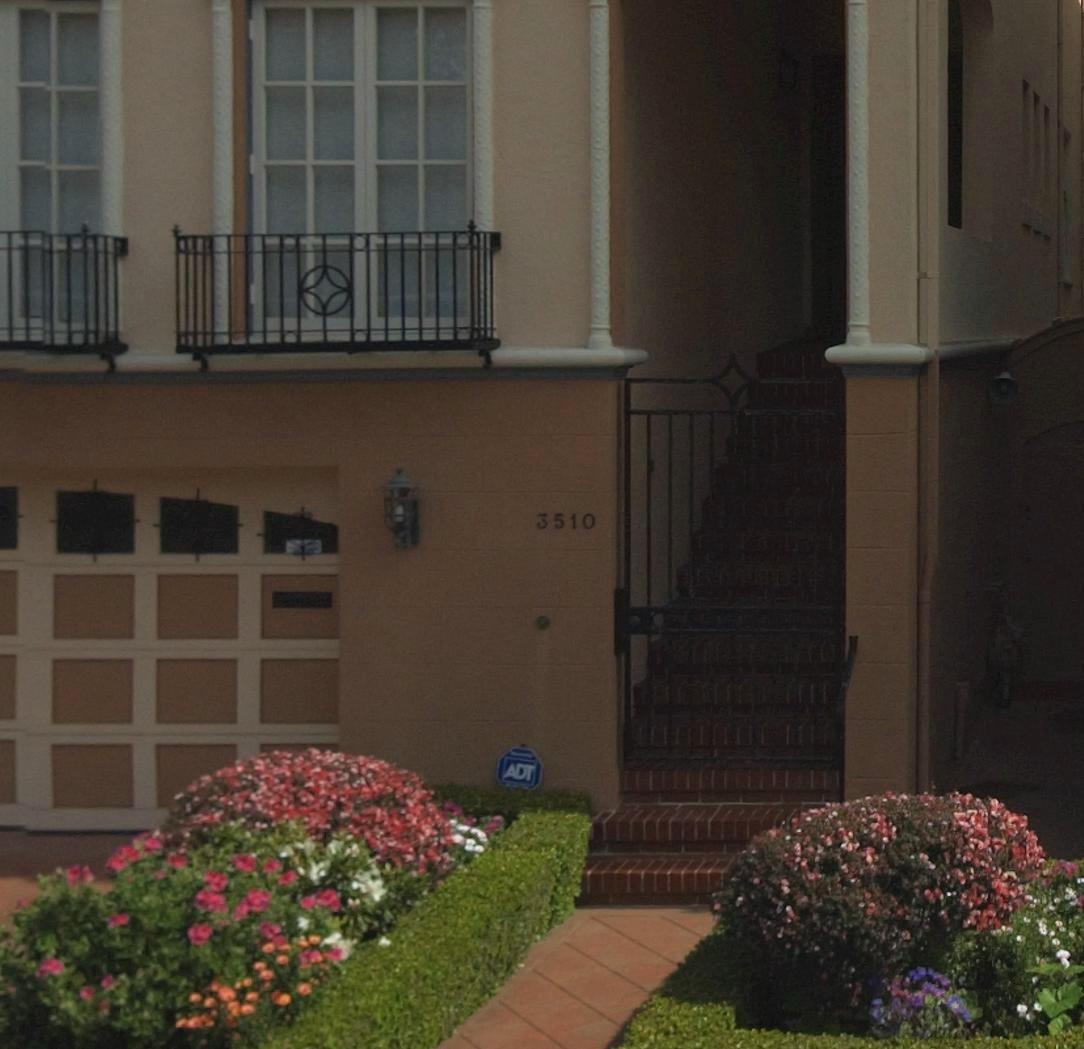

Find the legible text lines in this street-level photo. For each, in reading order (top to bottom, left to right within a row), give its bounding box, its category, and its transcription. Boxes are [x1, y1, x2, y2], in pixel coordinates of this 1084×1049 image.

[534, 510, 598, 532] StreetNumber: 3510
[501, 760, 538, 784] None: ADT